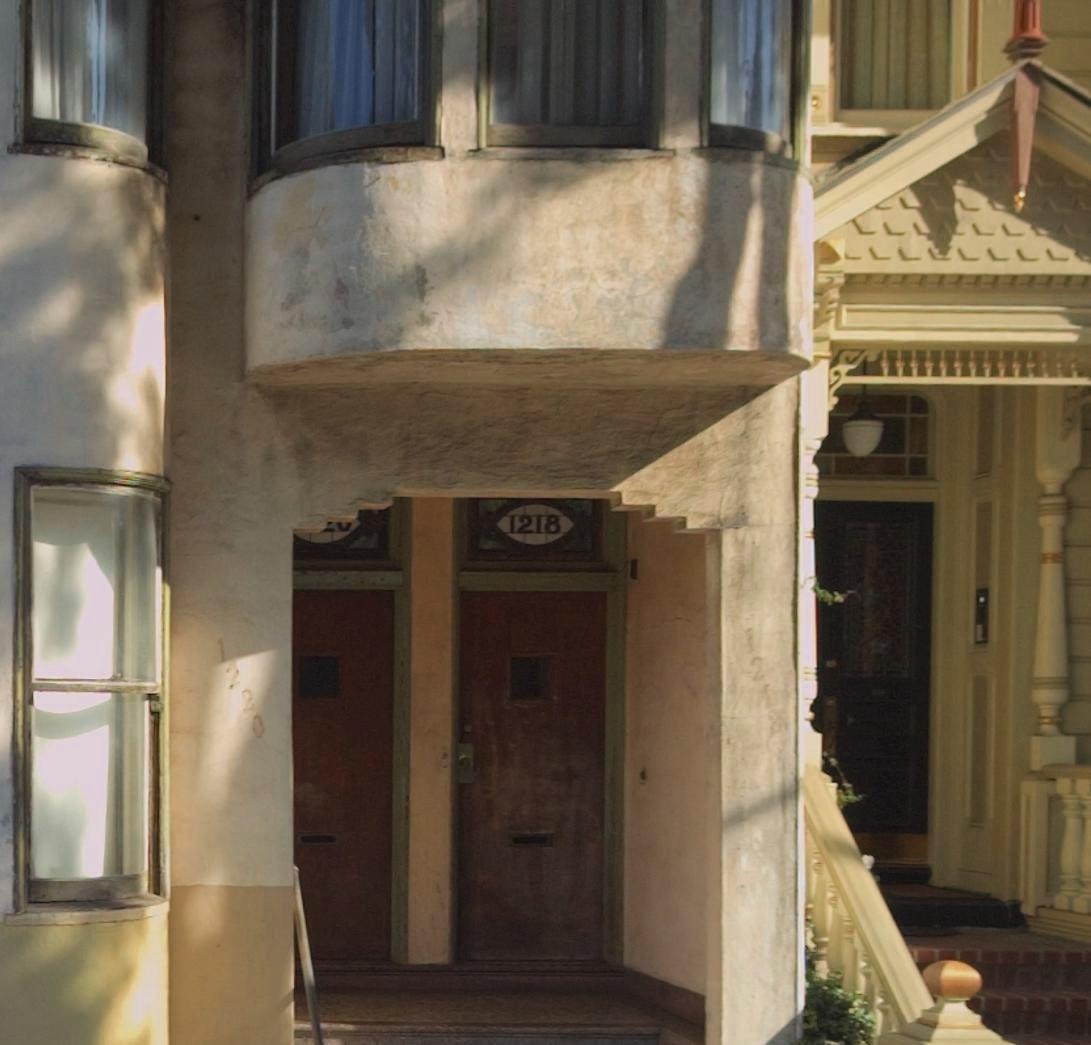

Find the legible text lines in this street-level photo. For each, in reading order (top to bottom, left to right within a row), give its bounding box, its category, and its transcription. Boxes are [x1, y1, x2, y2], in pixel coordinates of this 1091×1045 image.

[509, 513, 563, 535] StreetNumber: 1218